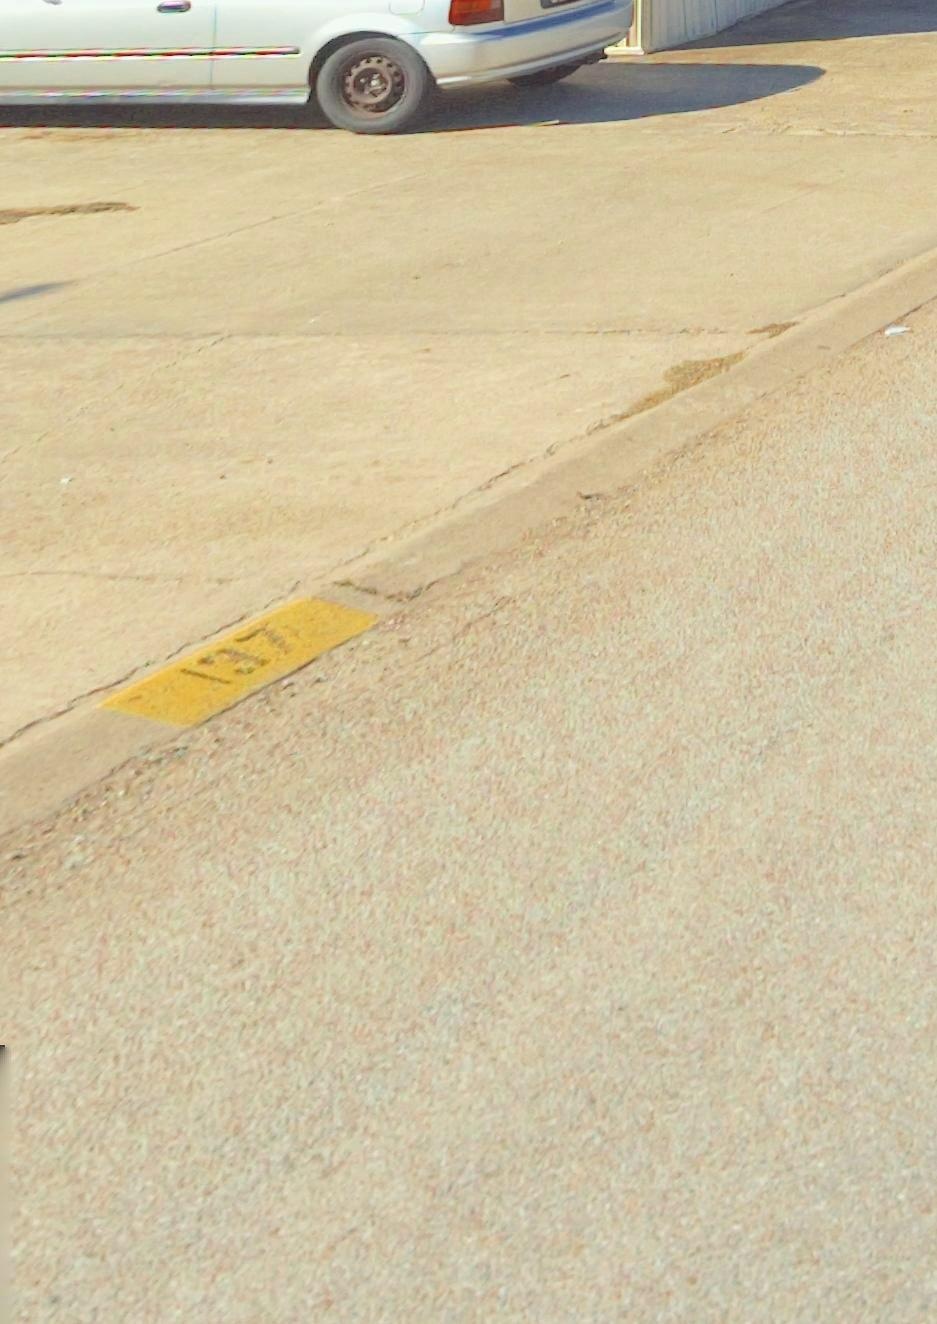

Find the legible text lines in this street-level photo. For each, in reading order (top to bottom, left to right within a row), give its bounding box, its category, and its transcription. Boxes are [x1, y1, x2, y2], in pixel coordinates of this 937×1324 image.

[171, 620, 297, 689] StreetNumber: 137